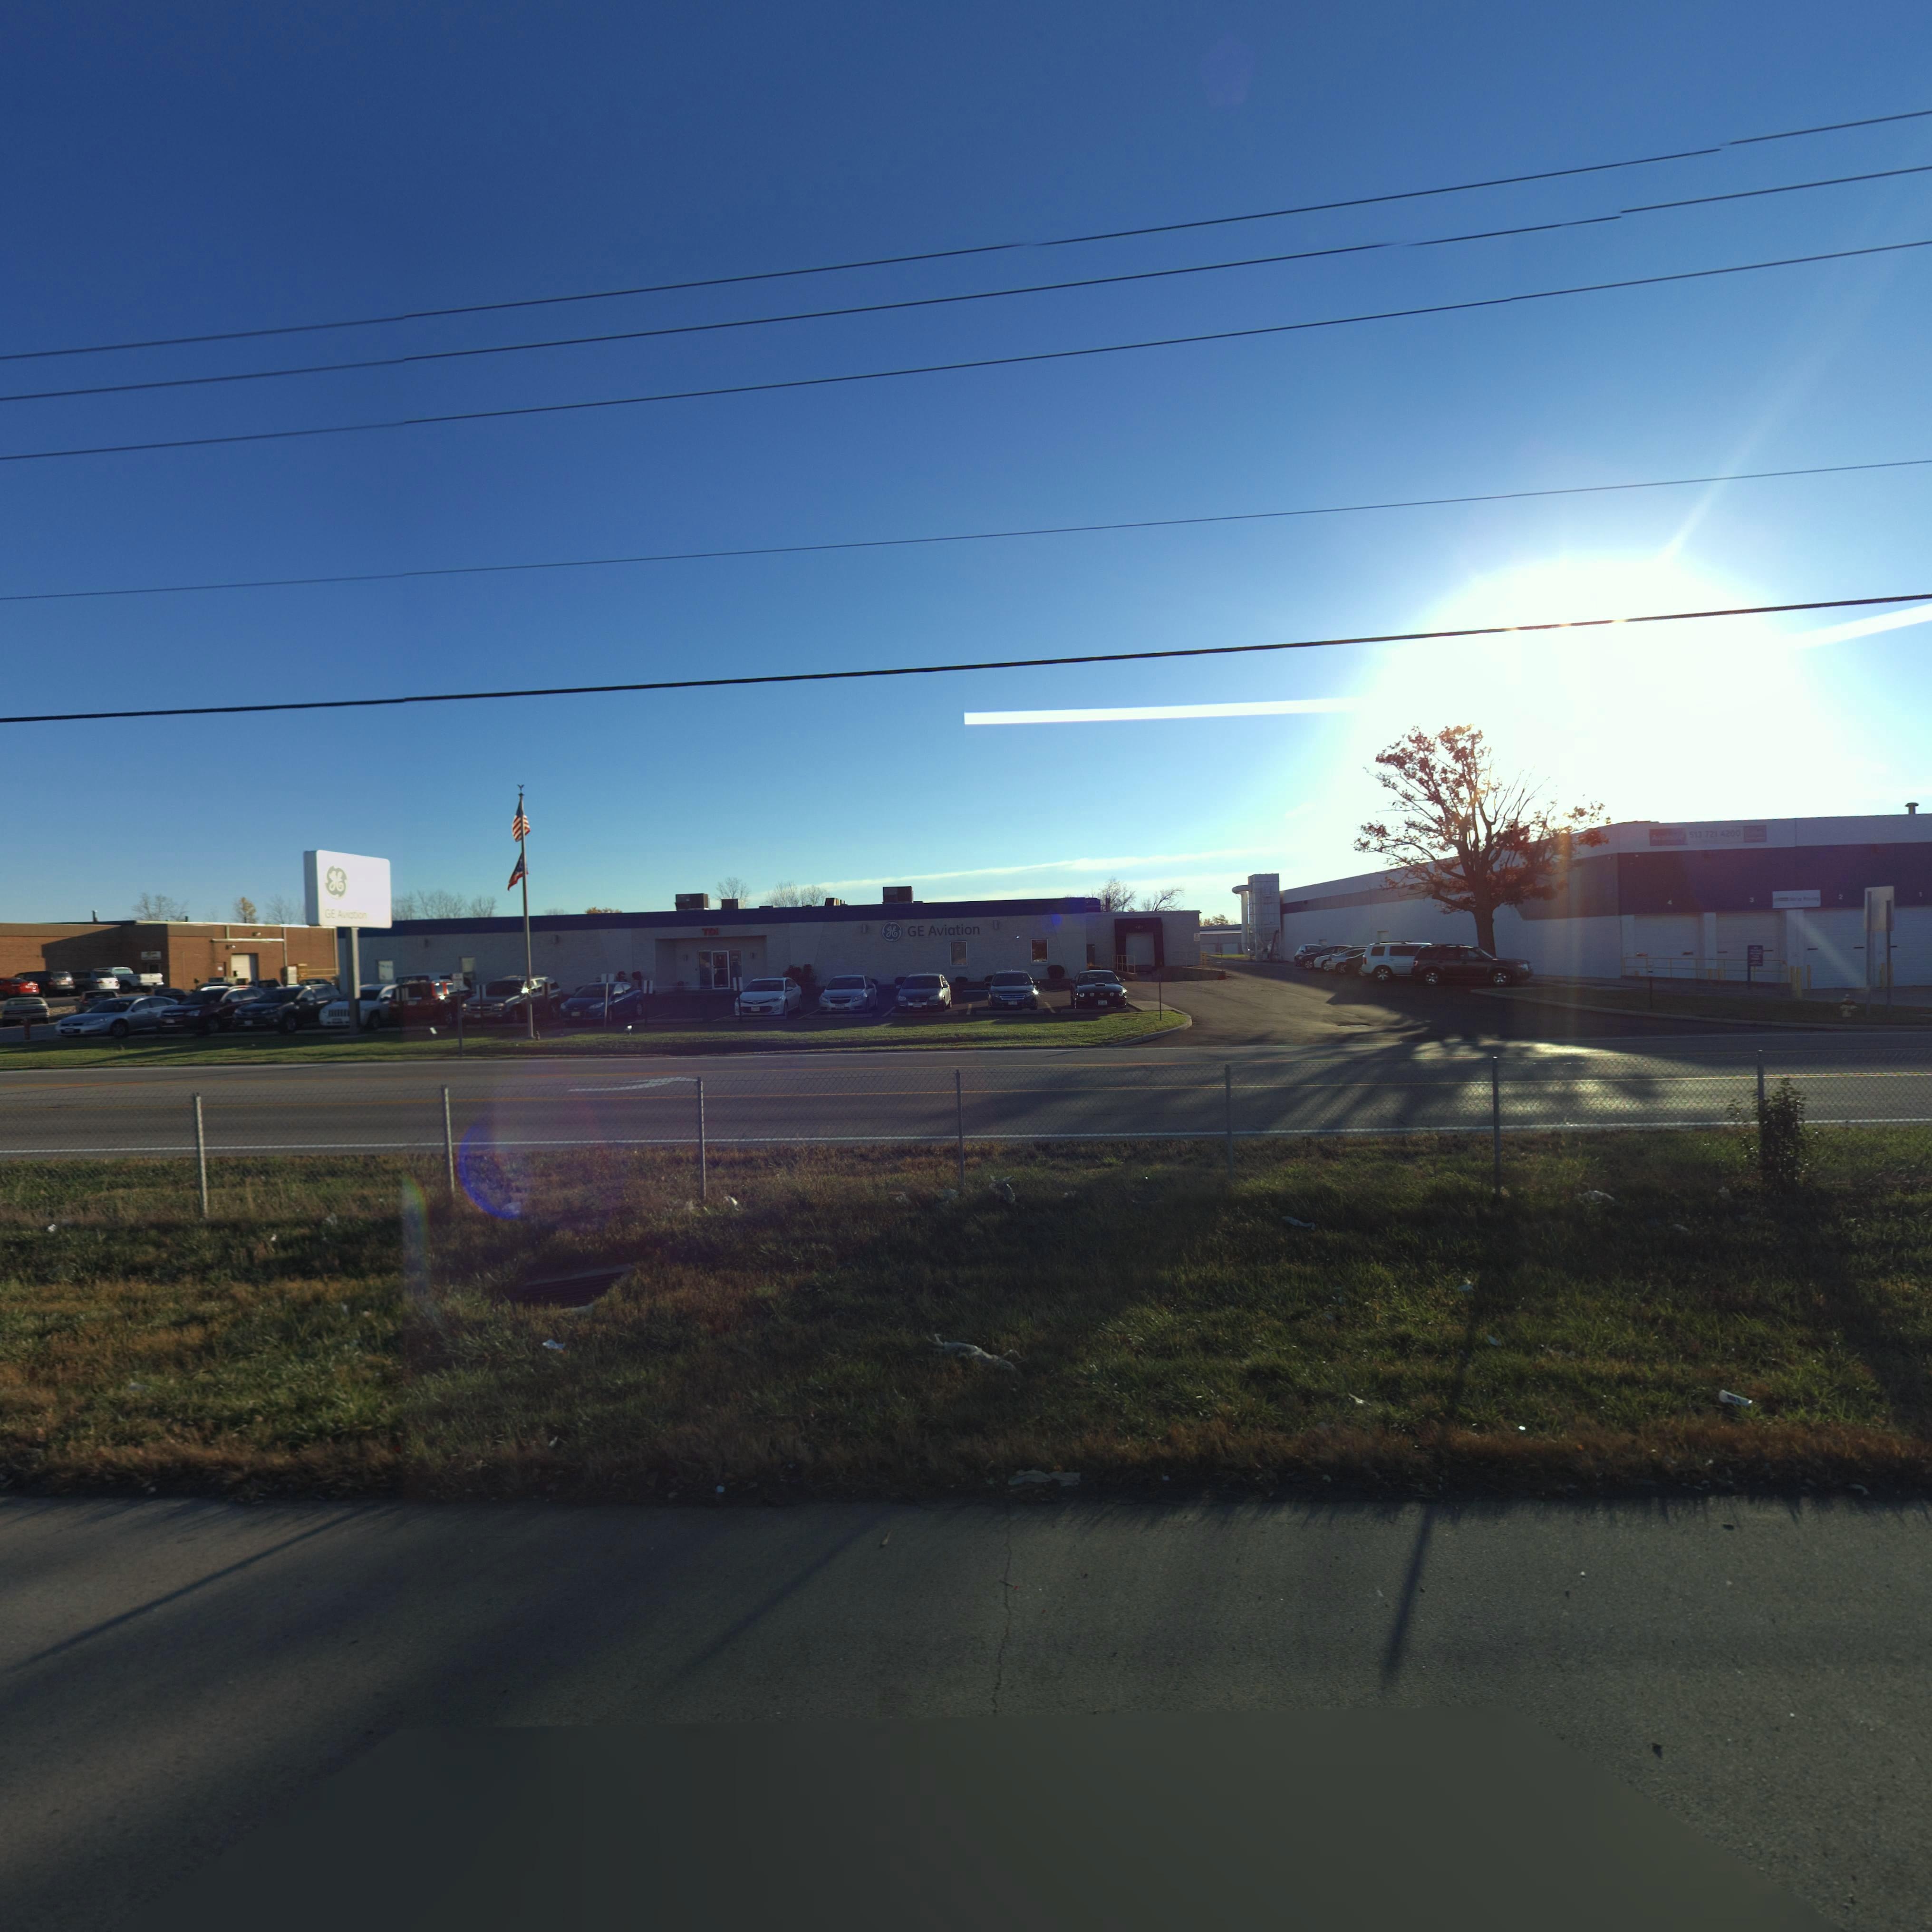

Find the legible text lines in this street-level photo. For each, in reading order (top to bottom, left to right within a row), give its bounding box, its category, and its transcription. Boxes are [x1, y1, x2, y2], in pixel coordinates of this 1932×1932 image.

[1689, 829, 1740, 838] None: 513-721-4200
[328, 869, 344, 894] None: gE
[322, 907, 369, 924] BusinessName: GE Aviation
[701, 927, 720, 937] StreetNumber: 701
[906, 922, 985, 941] BusinessName: GE Aviation